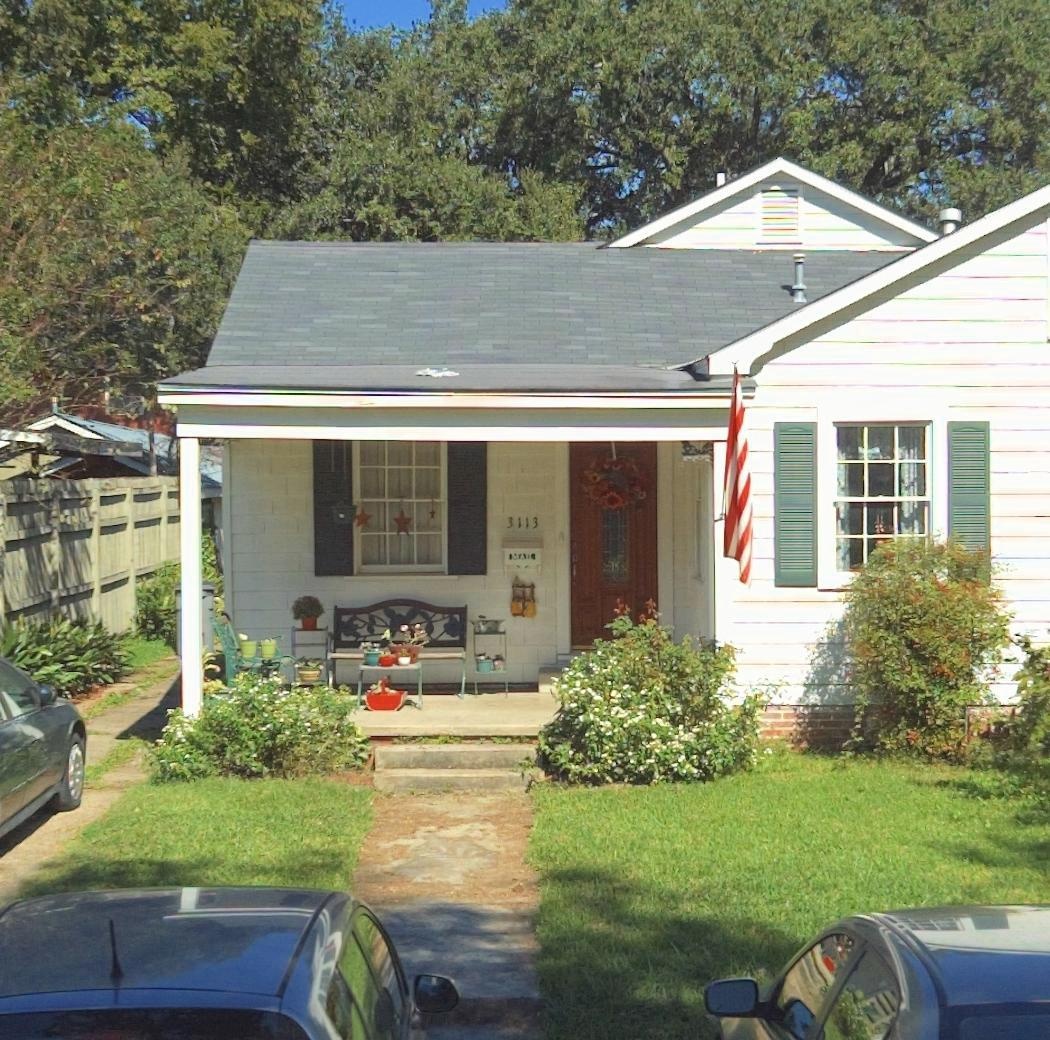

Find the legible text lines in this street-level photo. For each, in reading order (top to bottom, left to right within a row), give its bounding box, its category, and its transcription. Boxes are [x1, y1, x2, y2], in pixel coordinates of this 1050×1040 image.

[505, 515, 540, 531] StreetNumber: 3113